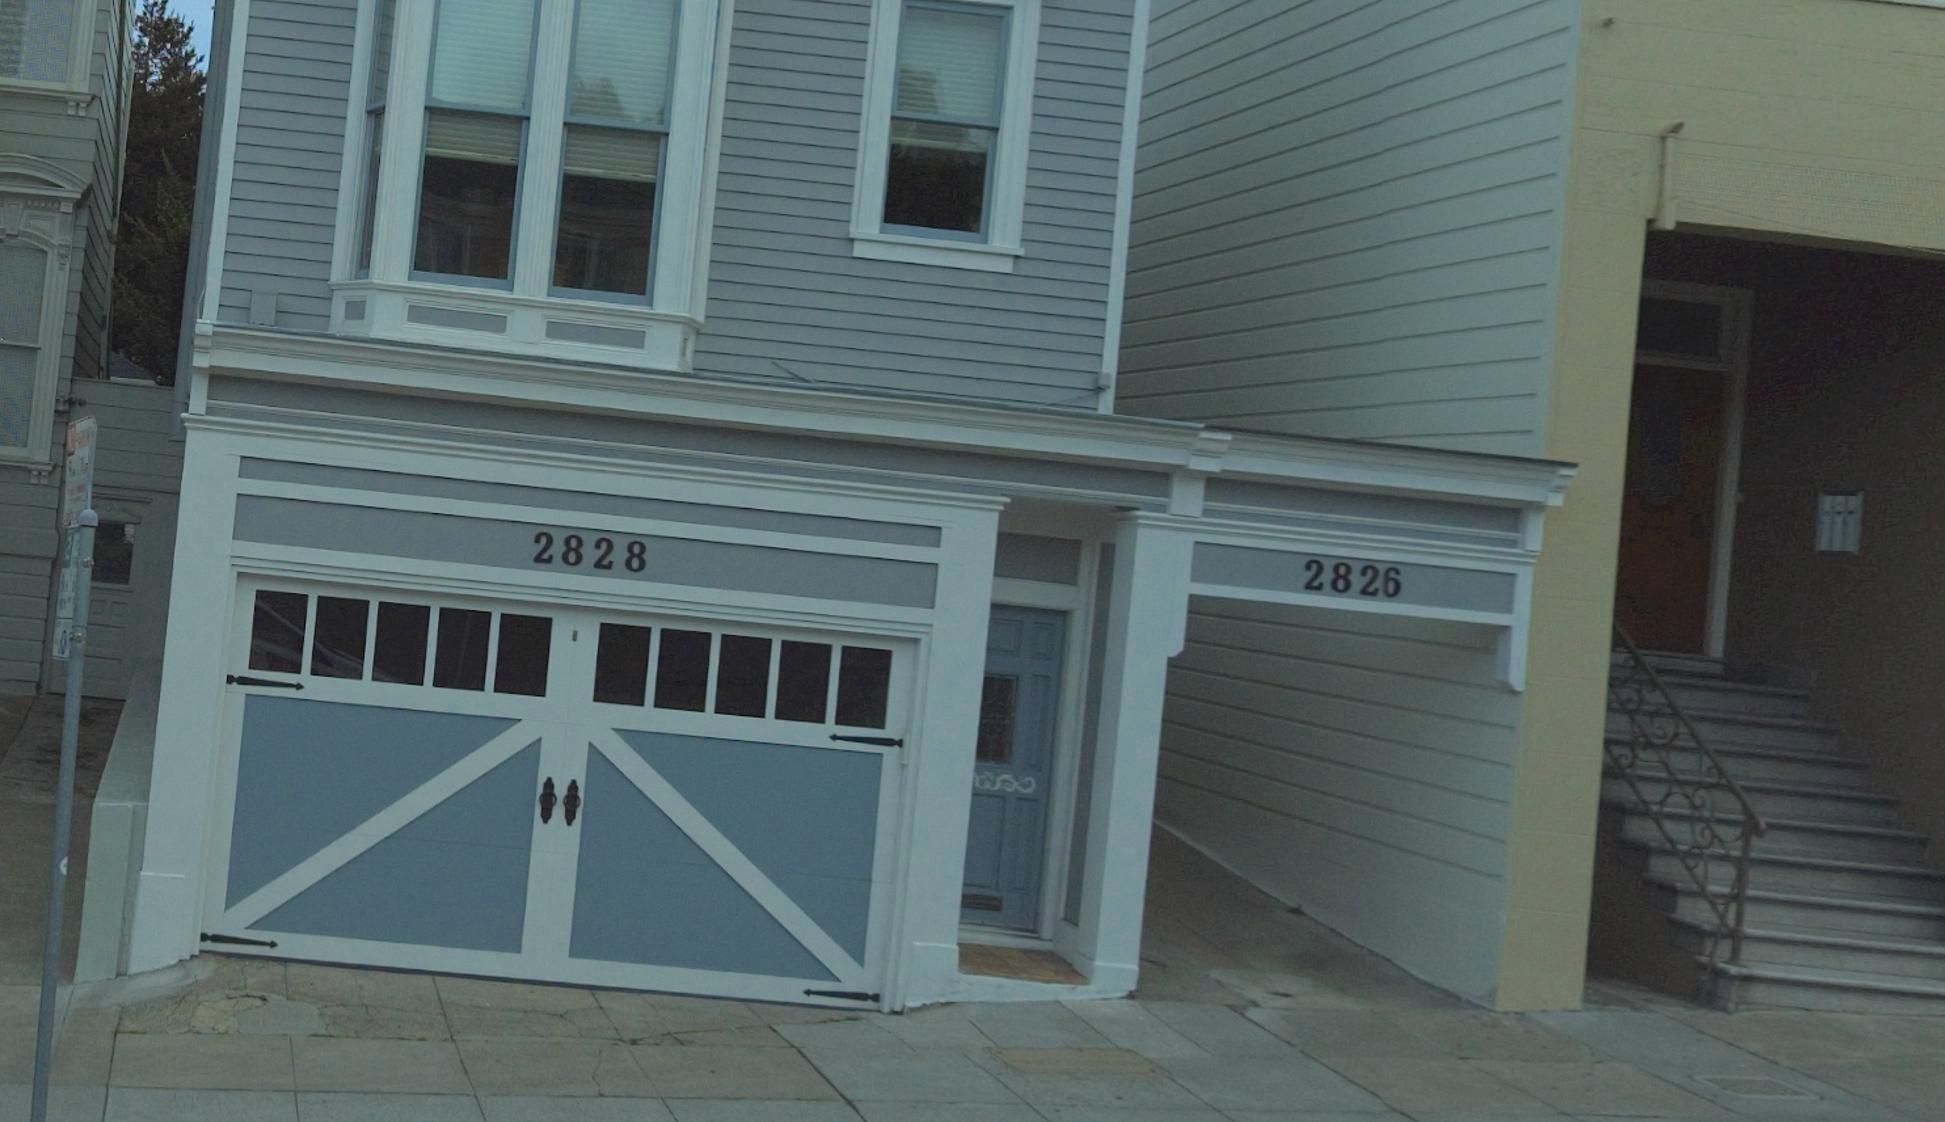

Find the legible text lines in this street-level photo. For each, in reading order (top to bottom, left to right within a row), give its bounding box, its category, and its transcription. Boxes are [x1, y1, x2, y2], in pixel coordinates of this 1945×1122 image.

[528, 529, 650, 576] StreetNumber: 2828
[1300, 557, 1405, 601] StreetNumber: 2826